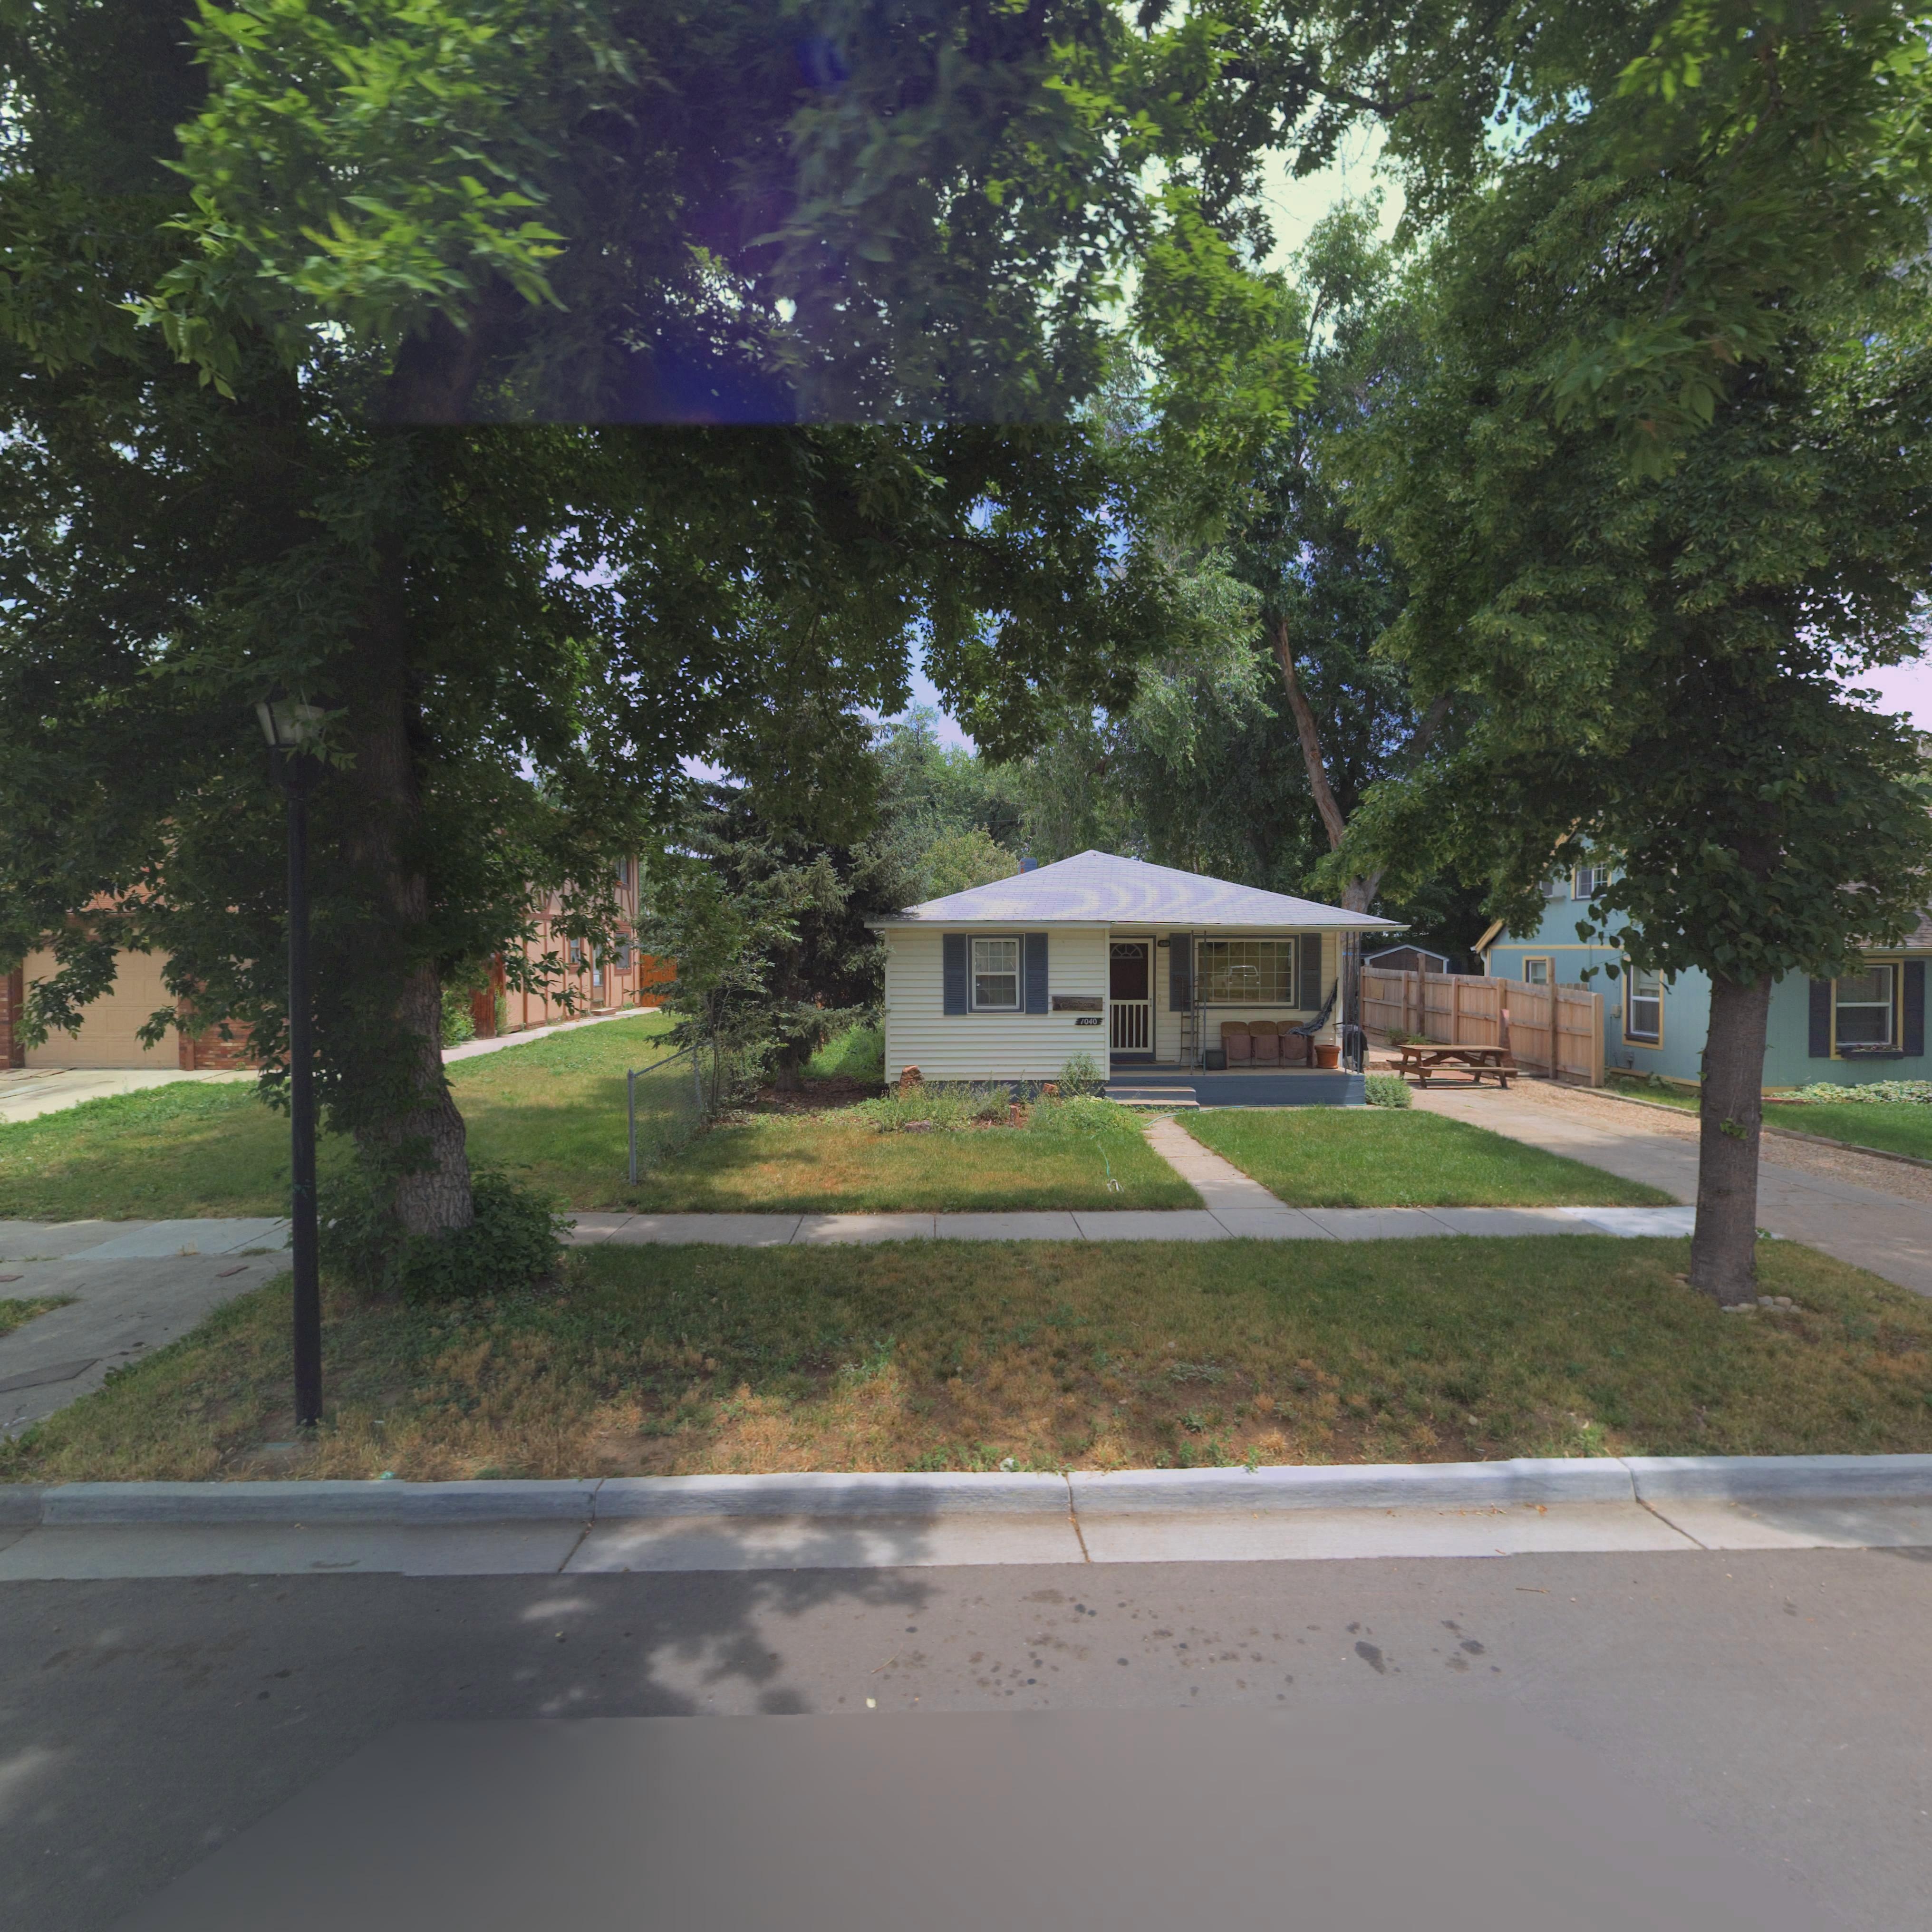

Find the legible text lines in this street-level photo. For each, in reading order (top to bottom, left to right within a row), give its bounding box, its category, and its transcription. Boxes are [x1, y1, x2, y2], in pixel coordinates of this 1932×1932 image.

[1080, 1018, 1097, 1025] StreetNumber: 1040